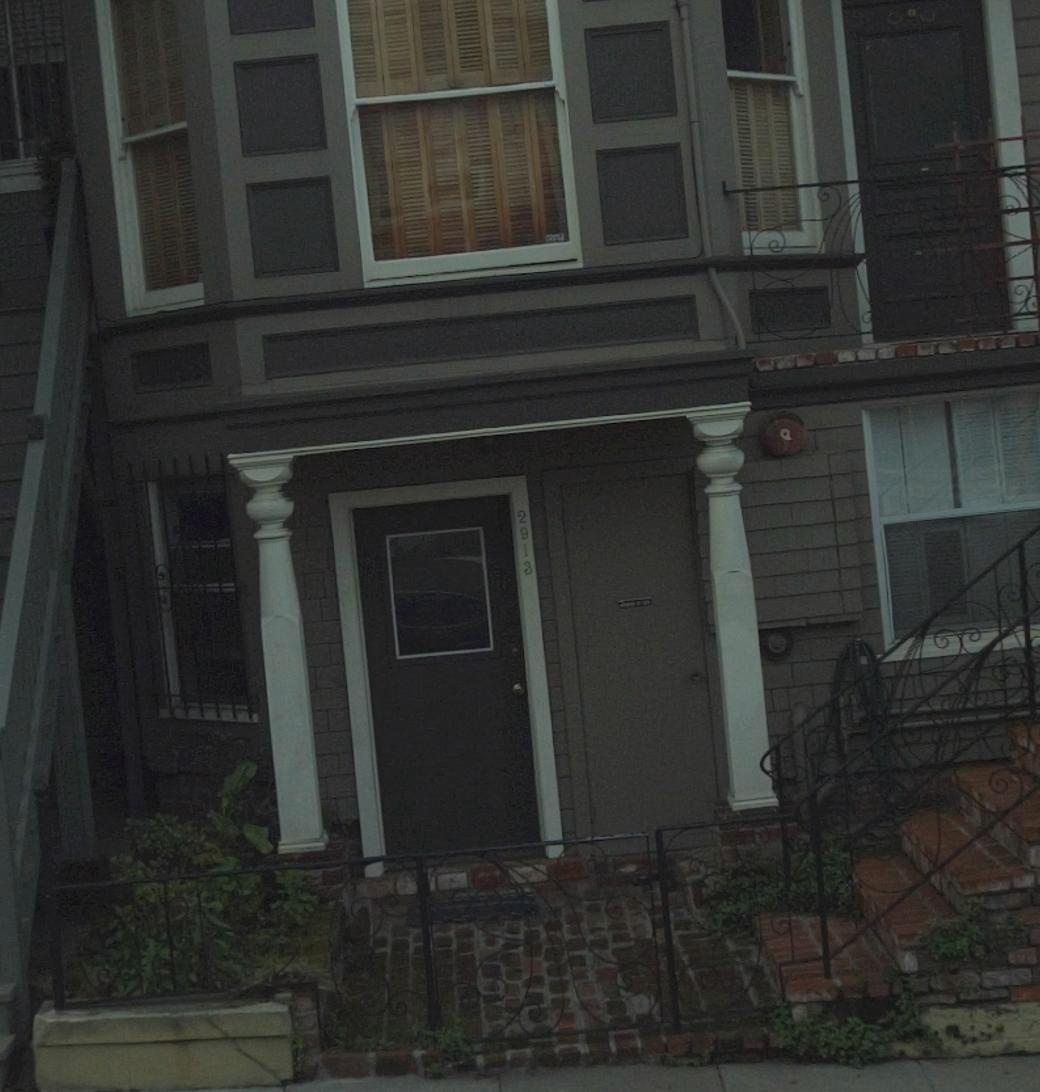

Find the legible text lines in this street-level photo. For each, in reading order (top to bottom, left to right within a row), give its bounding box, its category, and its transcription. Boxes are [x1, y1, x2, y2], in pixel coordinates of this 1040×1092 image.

[514, 506, 537, 579] StreetNumber: 2913